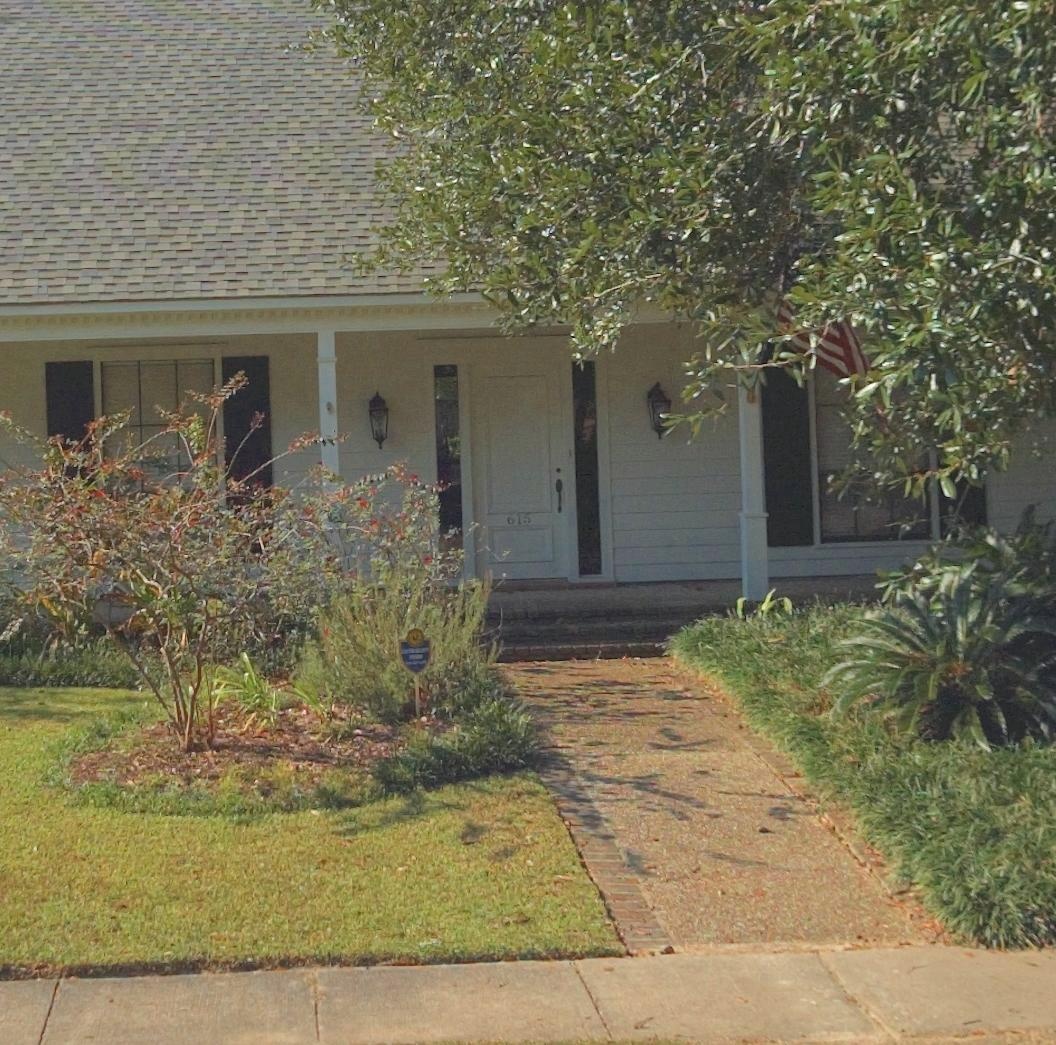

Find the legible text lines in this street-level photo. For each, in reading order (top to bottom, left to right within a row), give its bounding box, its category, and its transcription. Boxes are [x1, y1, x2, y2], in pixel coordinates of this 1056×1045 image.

[507, 512, 531, 525] StreetNumber: 615